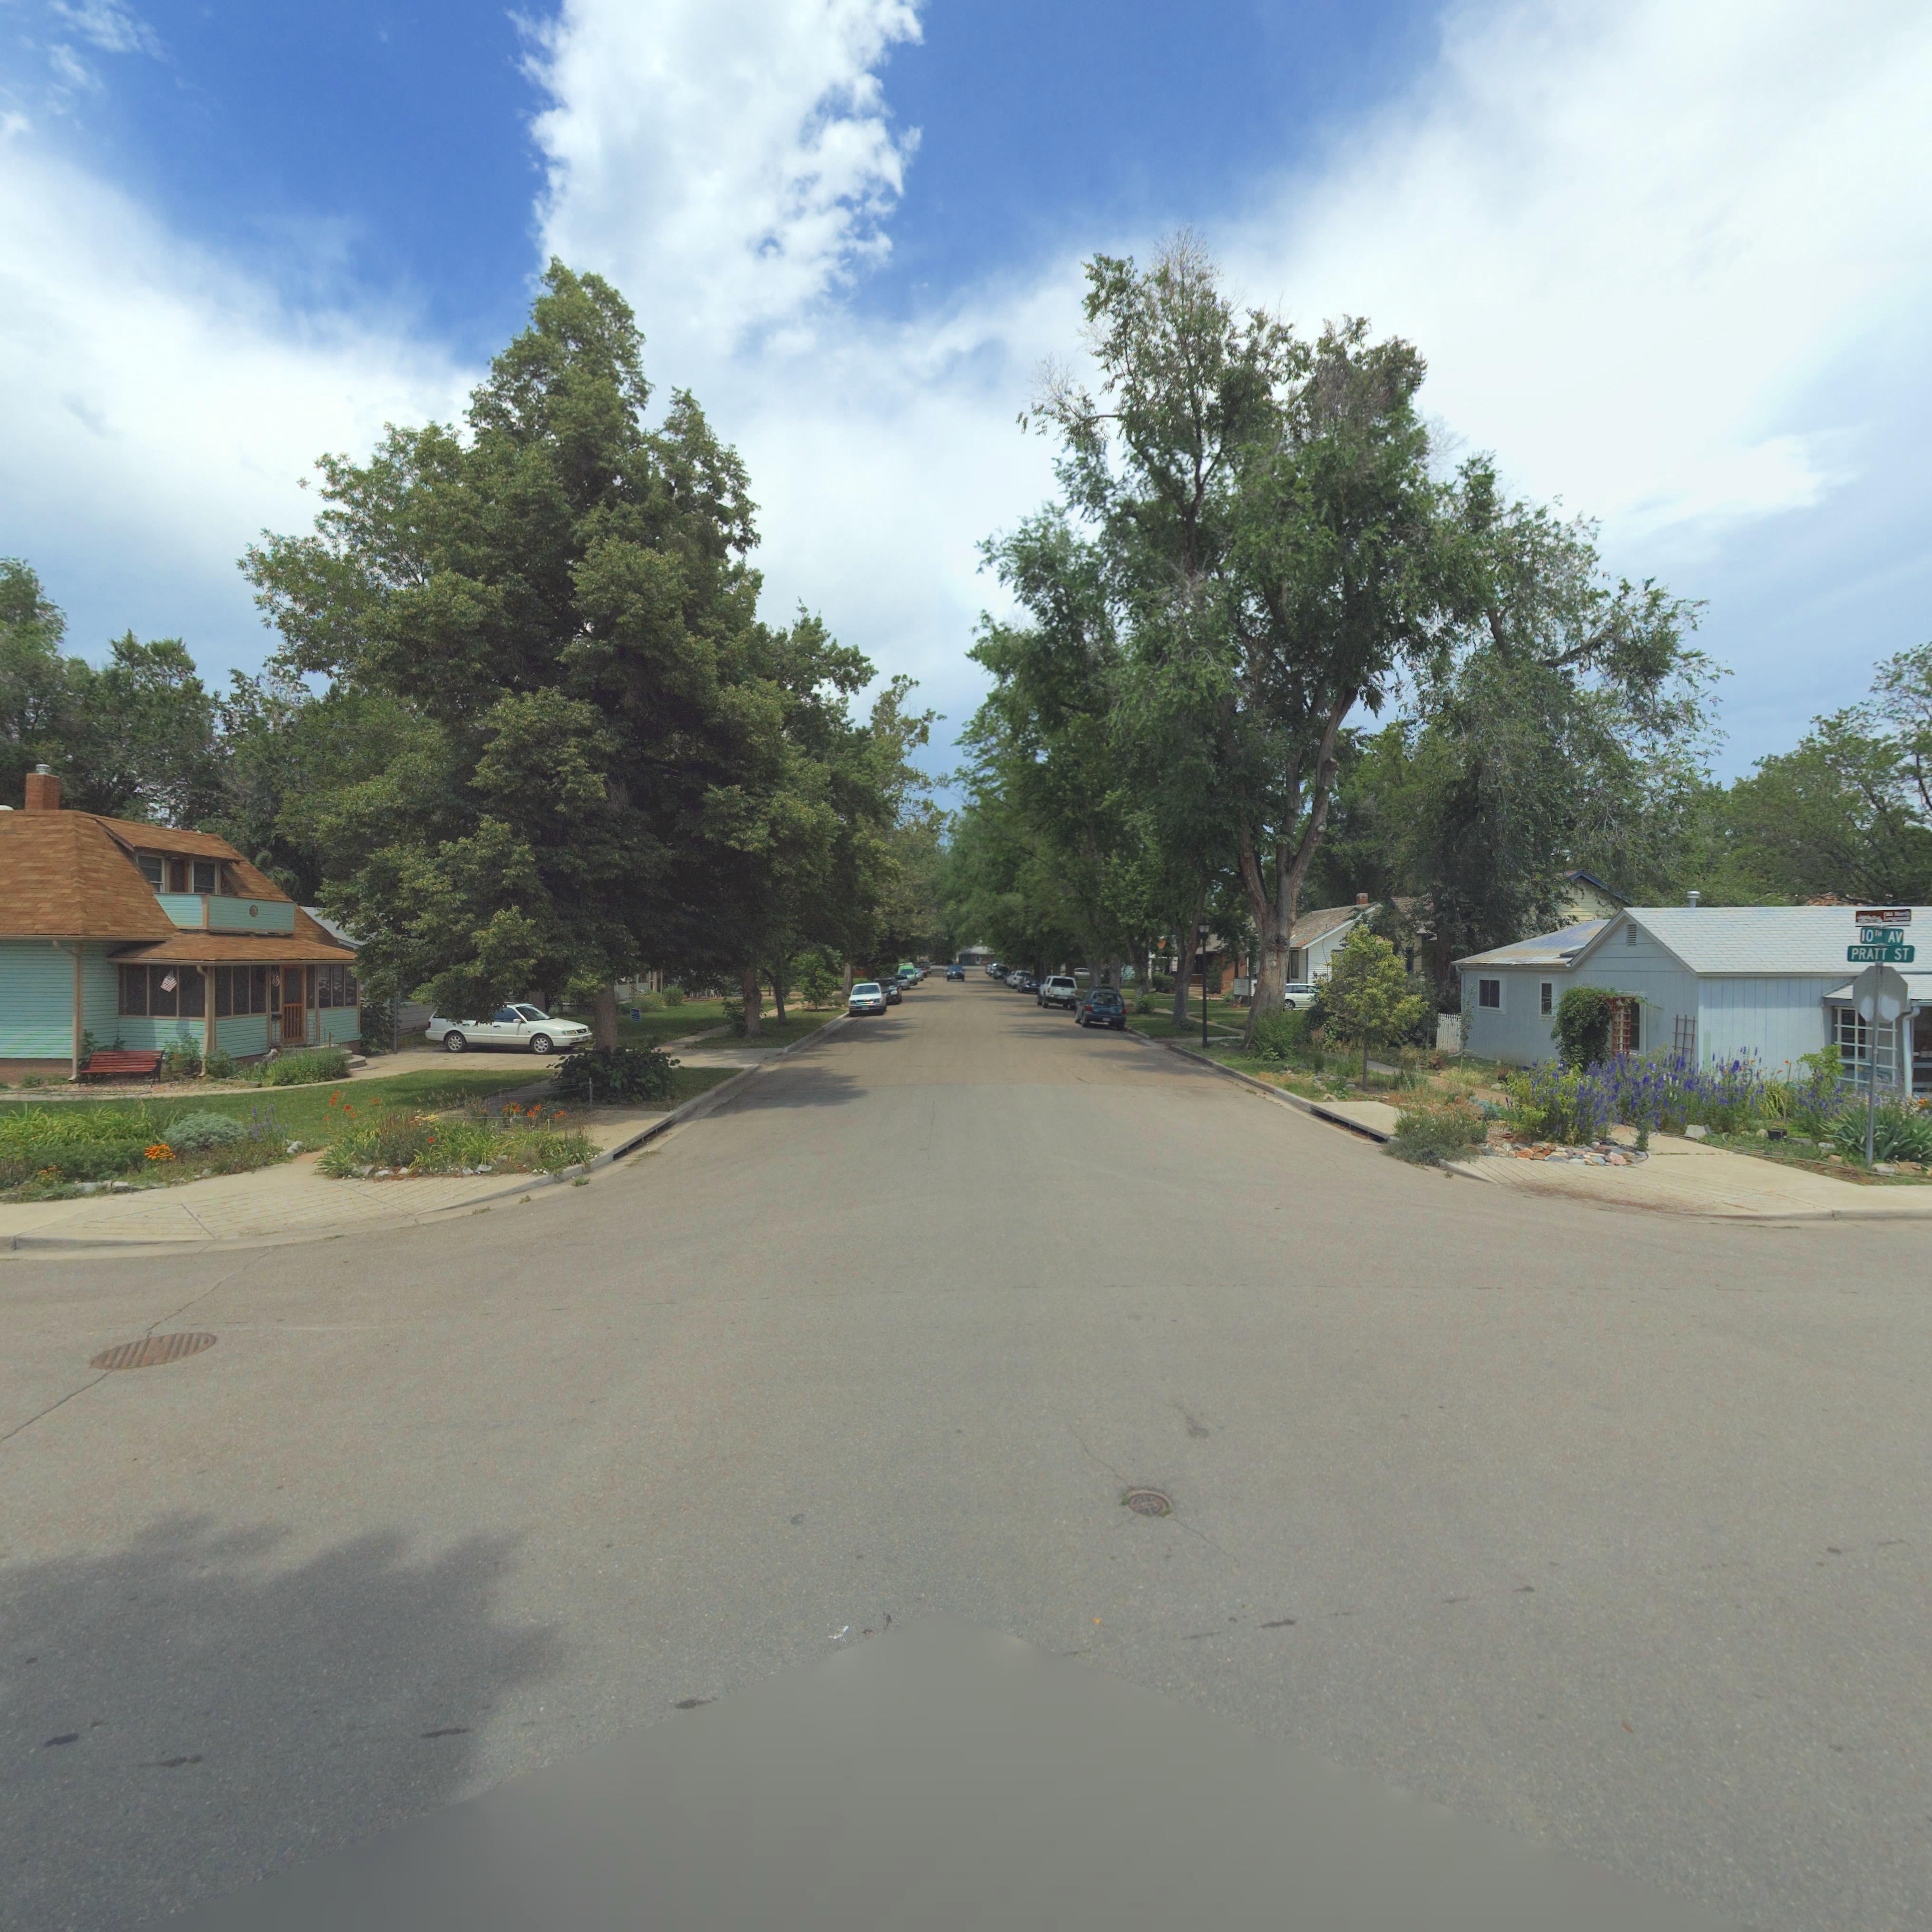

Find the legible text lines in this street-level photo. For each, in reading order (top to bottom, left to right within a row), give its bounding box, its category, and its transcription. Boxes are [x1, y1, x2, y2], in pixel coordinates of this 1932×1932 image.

[1861, 929, 1903, 943] StreetName: 10TH AV
[1851, 947, 1910, 960] StreetName: PRATT ST